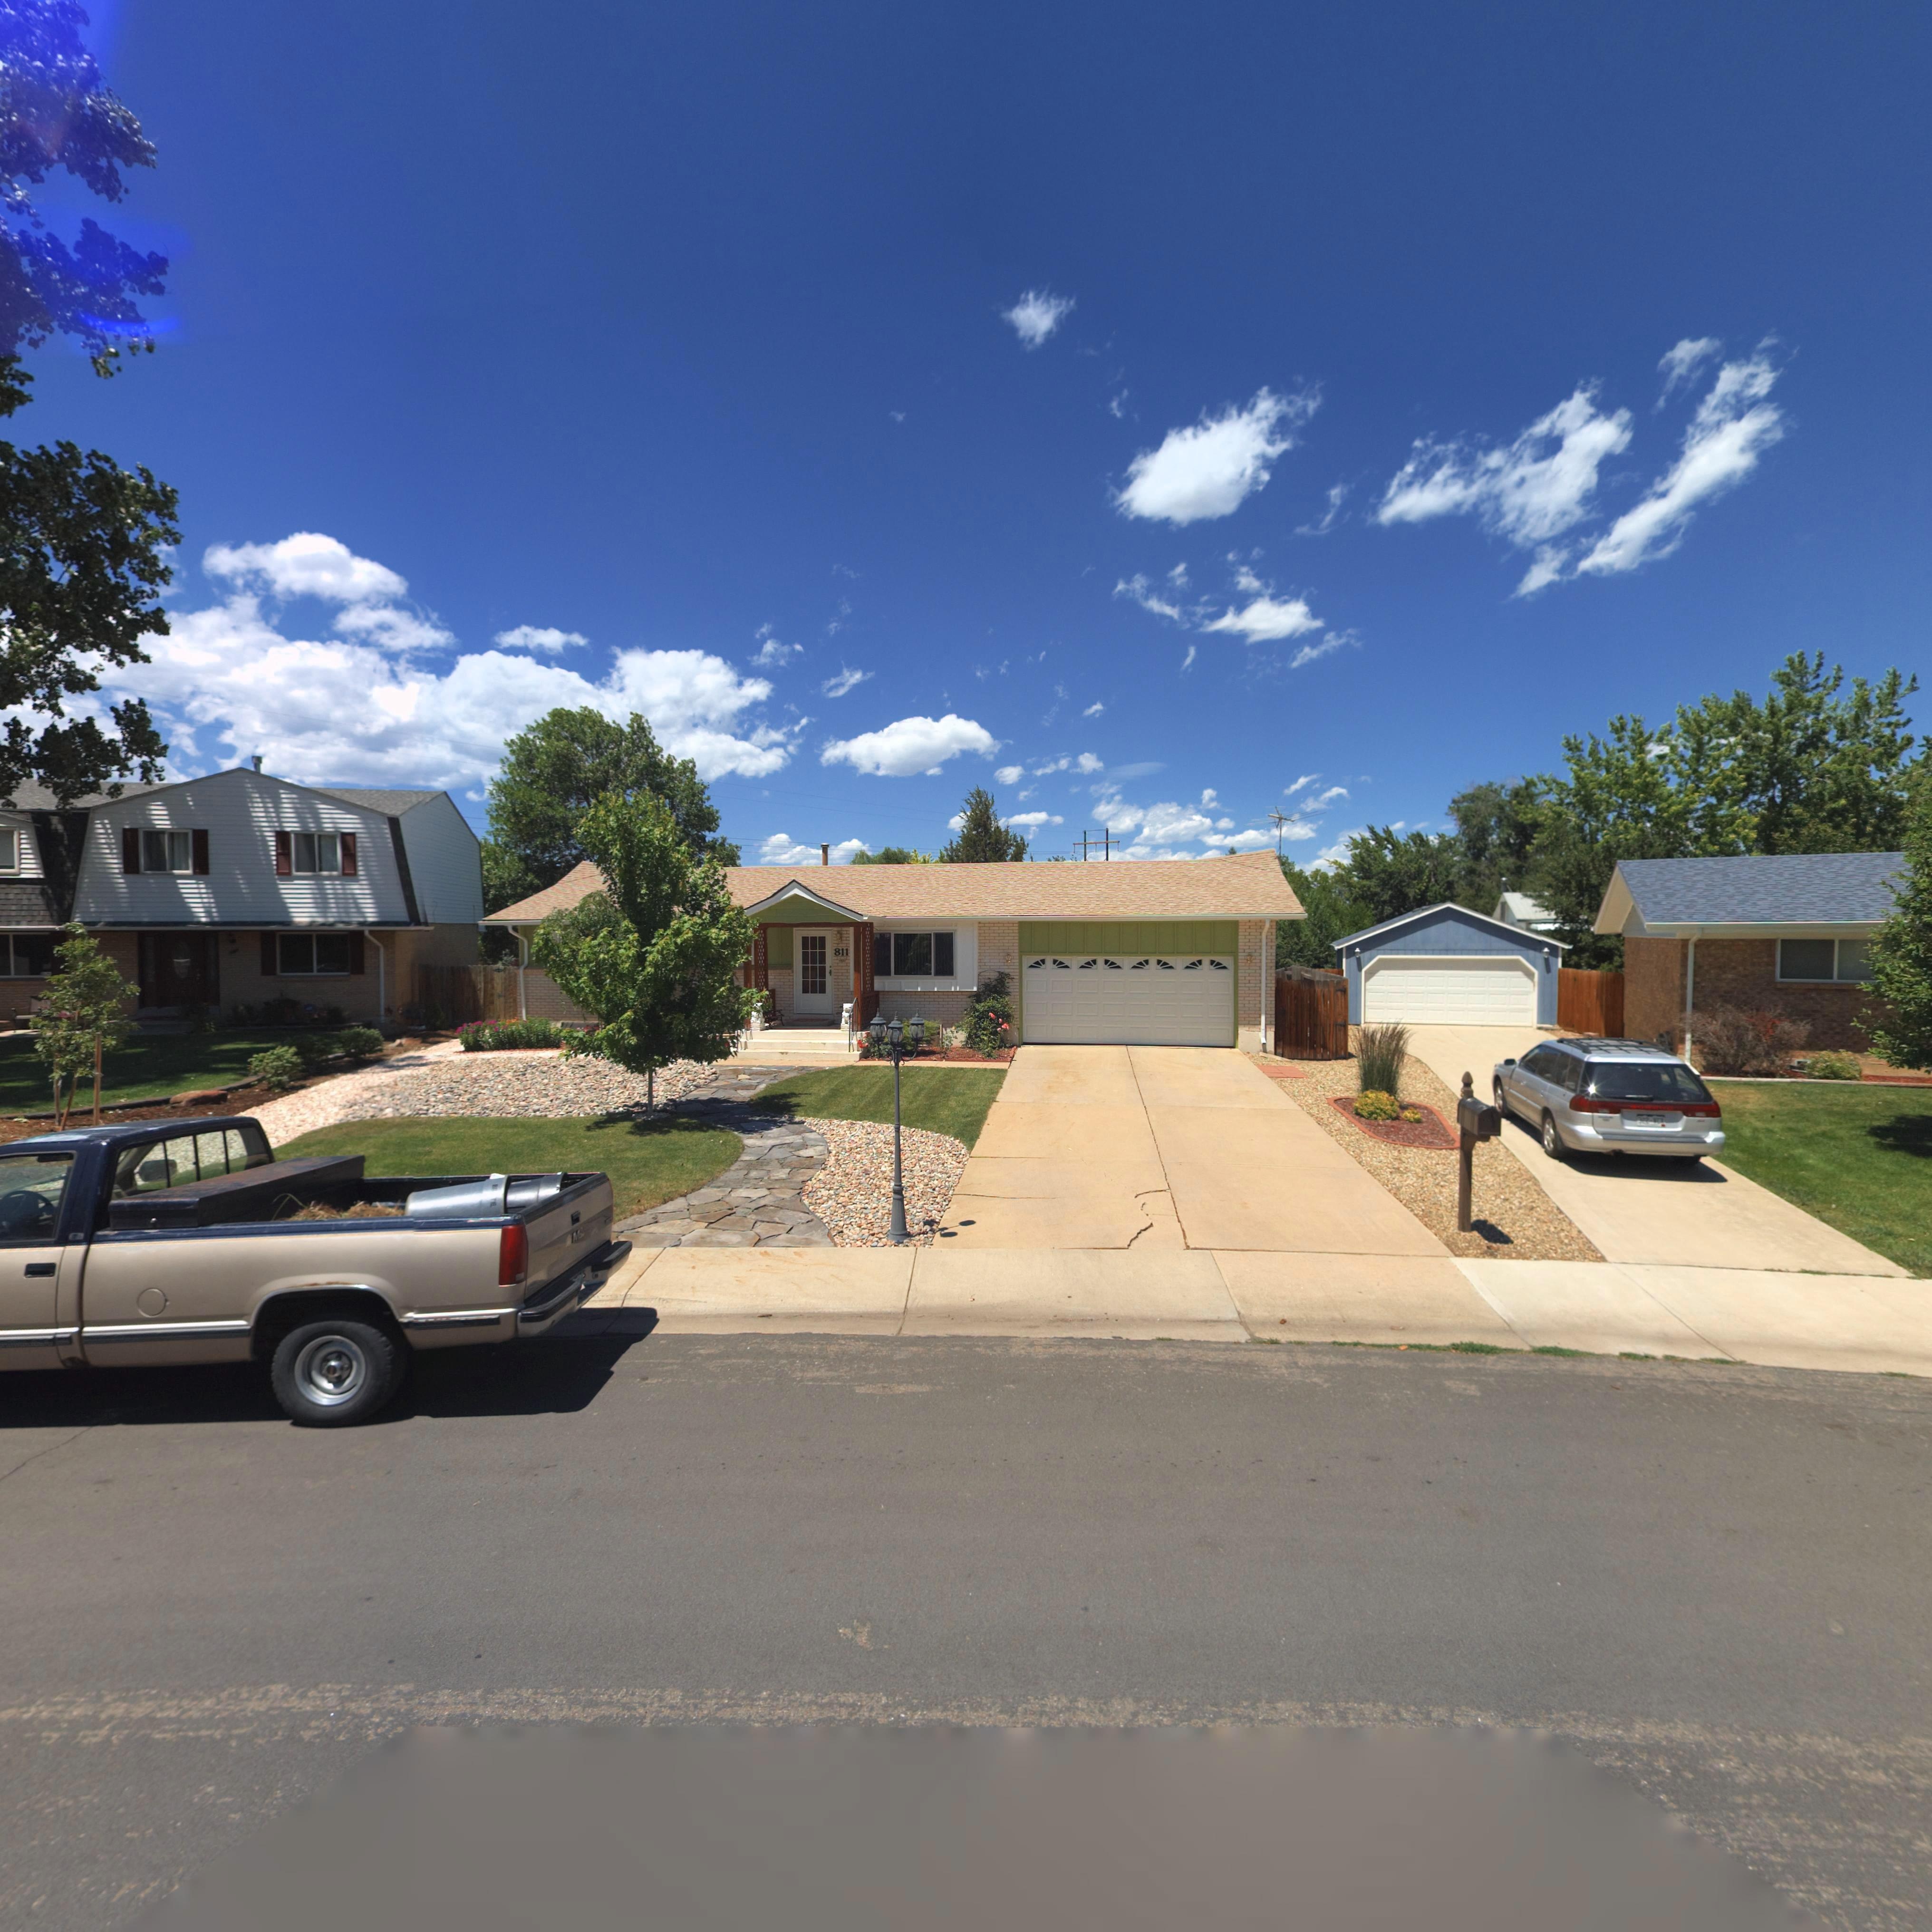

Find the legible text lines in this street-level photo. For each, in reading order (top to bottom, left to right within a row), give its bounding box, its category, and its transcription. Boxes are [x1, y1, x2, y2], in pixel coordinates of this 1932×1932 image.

[834, 947, 848, 956] StreetNumber: 811